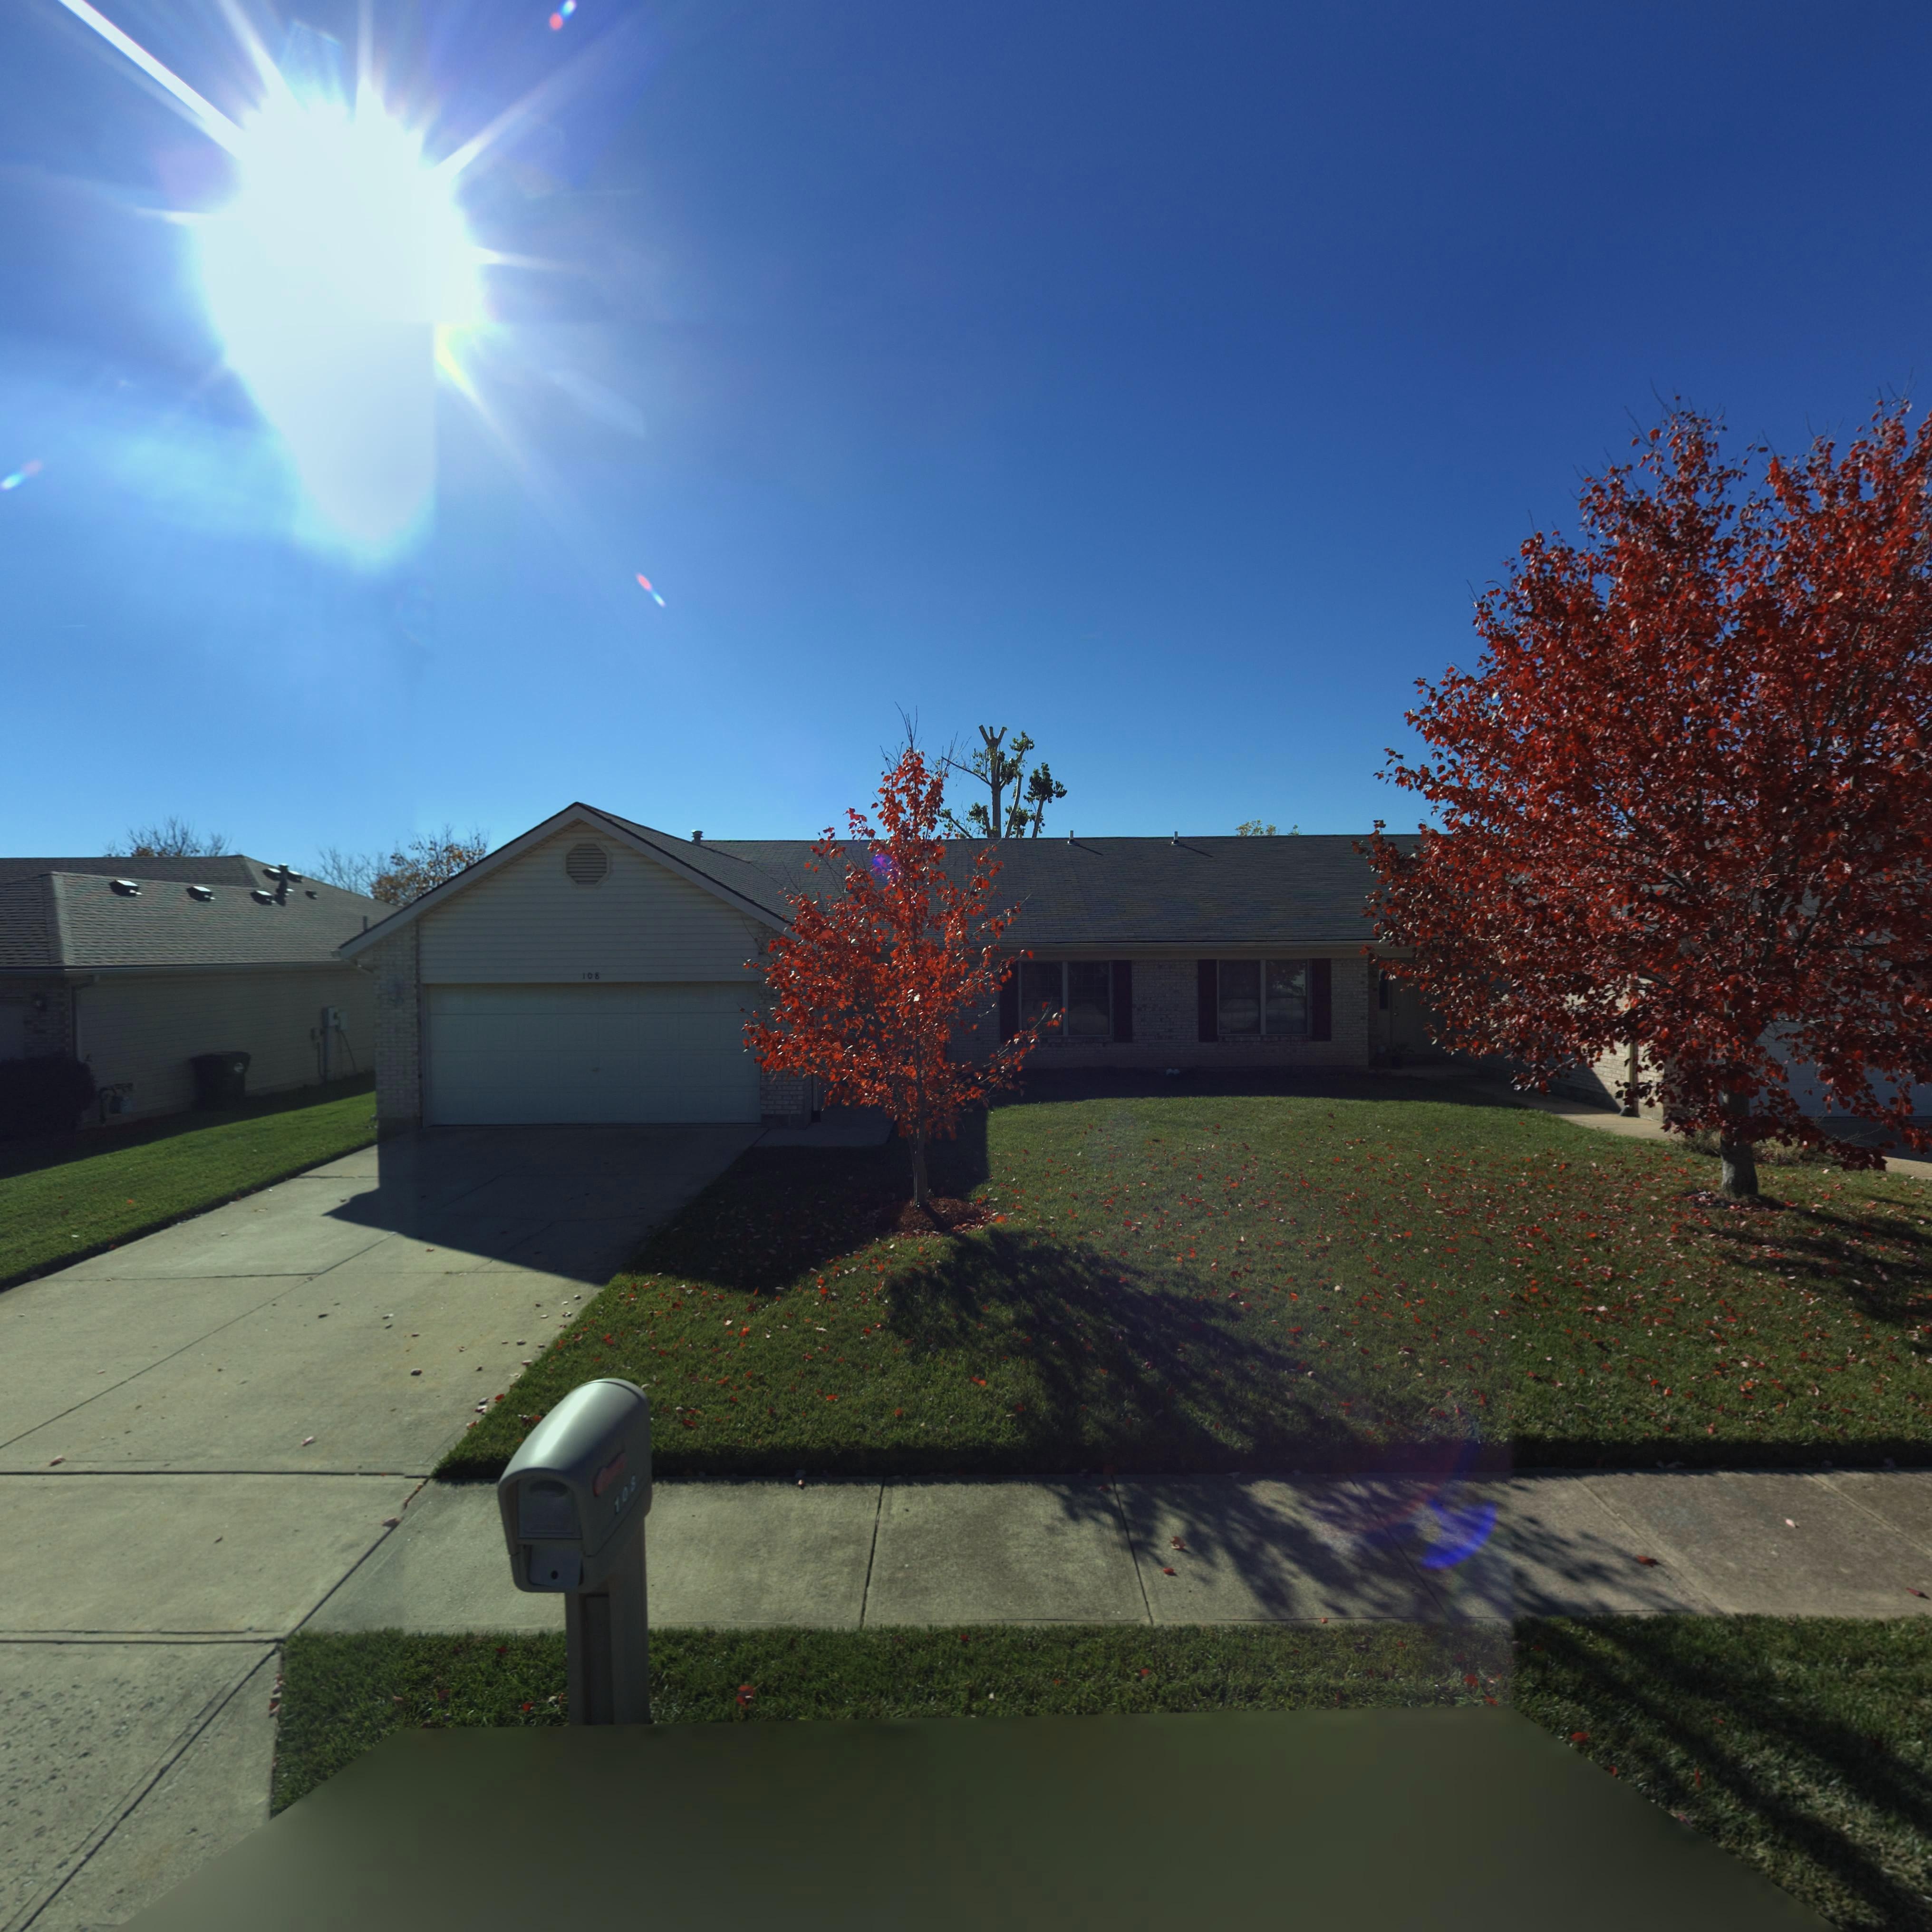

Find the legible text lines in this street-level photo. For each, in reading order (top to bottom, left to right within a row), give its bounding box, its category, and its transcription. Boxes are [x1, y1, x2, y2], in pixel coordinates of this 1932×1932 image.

[582, 972, 600, 980] StreetNumber: 108
[612, 1472, 638, 1516] StreetNumber: 108